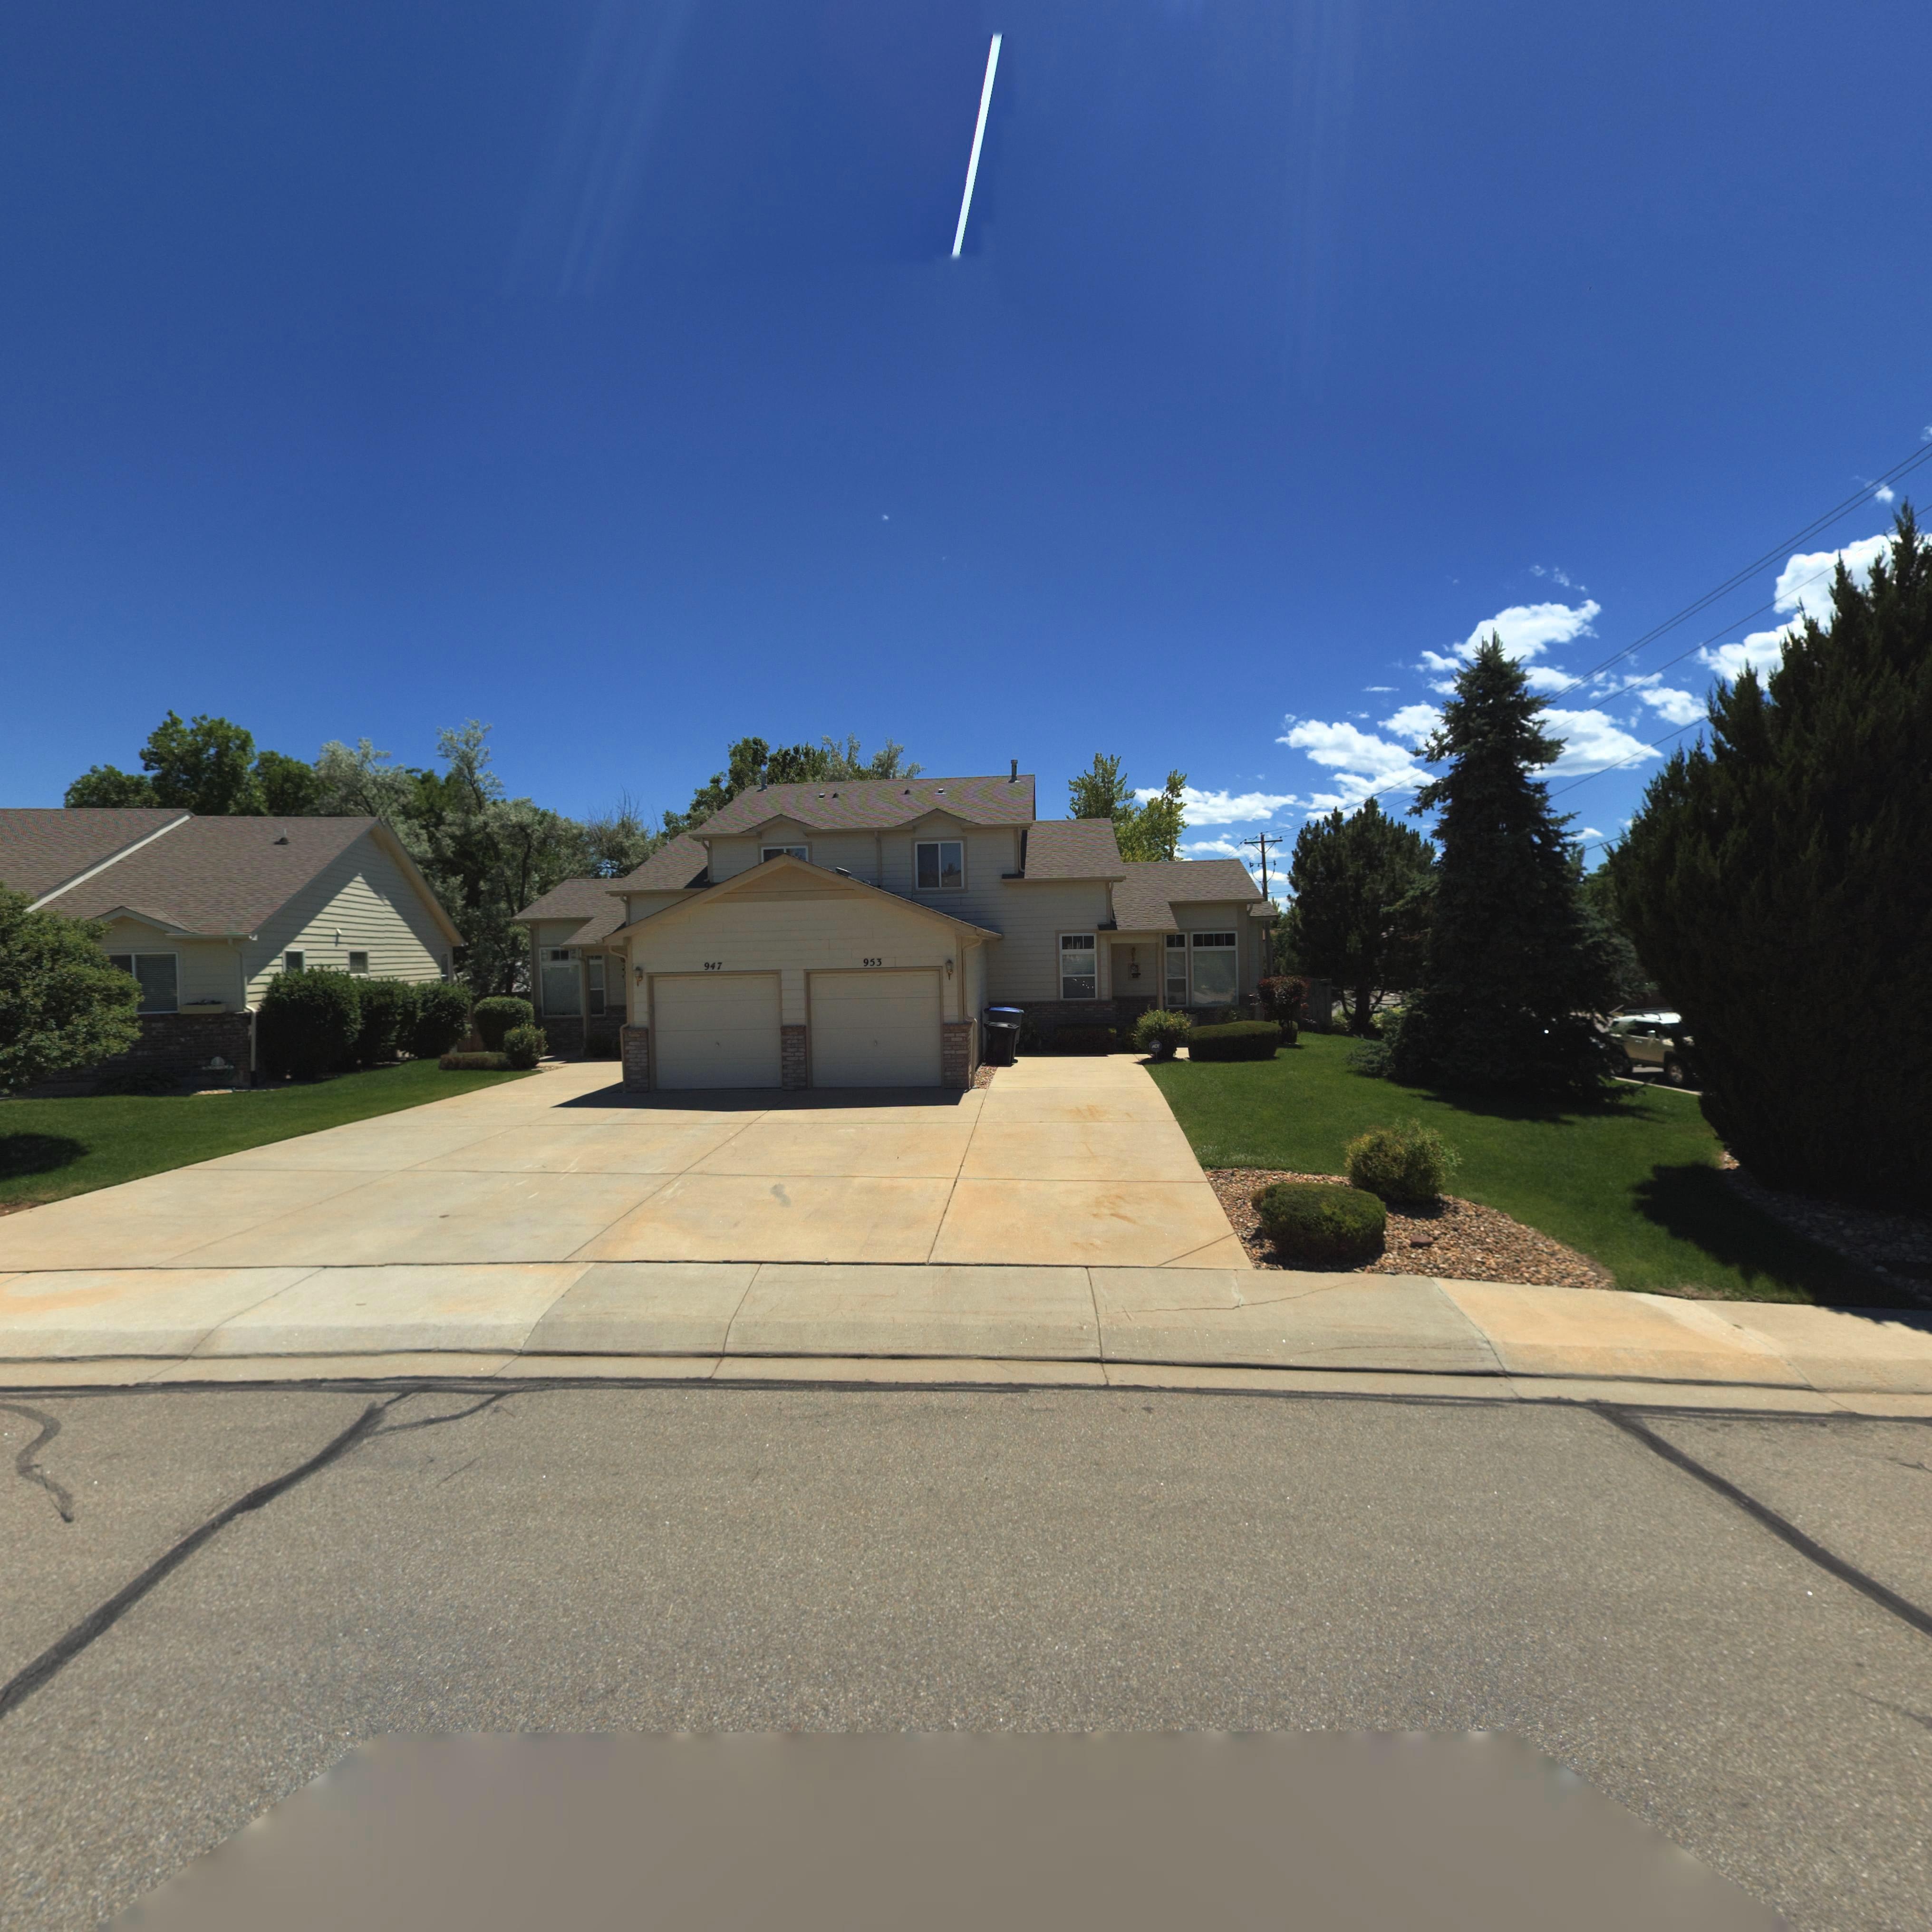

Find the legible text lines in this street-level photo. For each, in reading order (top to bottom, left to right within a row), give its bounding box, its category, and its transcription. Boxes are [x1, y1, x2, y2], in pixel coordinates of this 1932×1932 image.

[704, 961, 722, 970] StreetNumber: 947
[863, 957, 882, 966] StreetNumber: 953